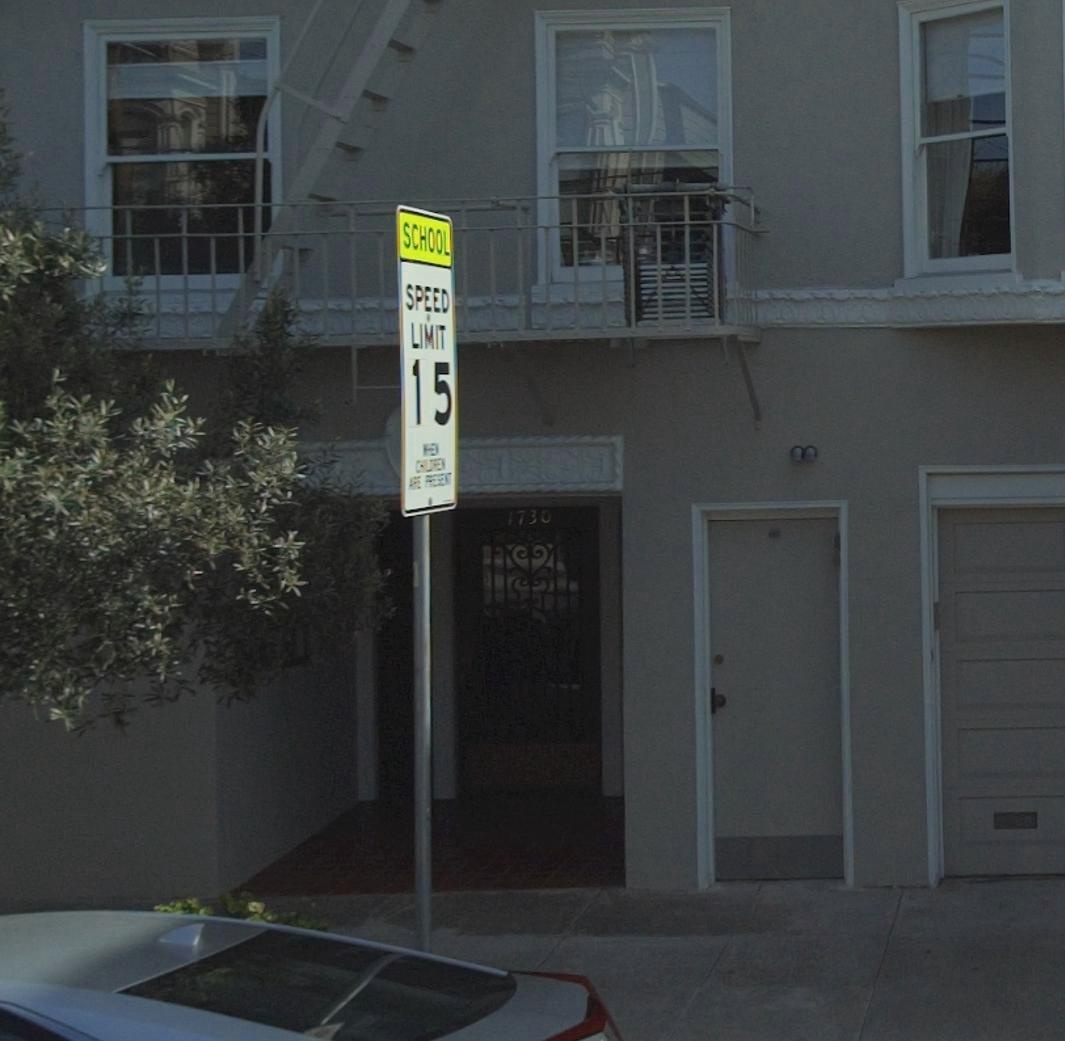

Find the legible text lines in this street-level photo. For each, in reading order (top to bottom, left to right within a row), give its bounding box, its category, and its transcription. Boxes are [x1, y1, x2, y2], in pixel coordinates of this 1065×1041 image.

[400, 218, 453, 260] None: SCHOOL
[403, 279, 452, 317] None: SPEED
[408, 319, 448, 353] None: LIMIT
[409, 355, 456, 429] None: 15
[505, 507, 554, 528] StreetNumber: 1730